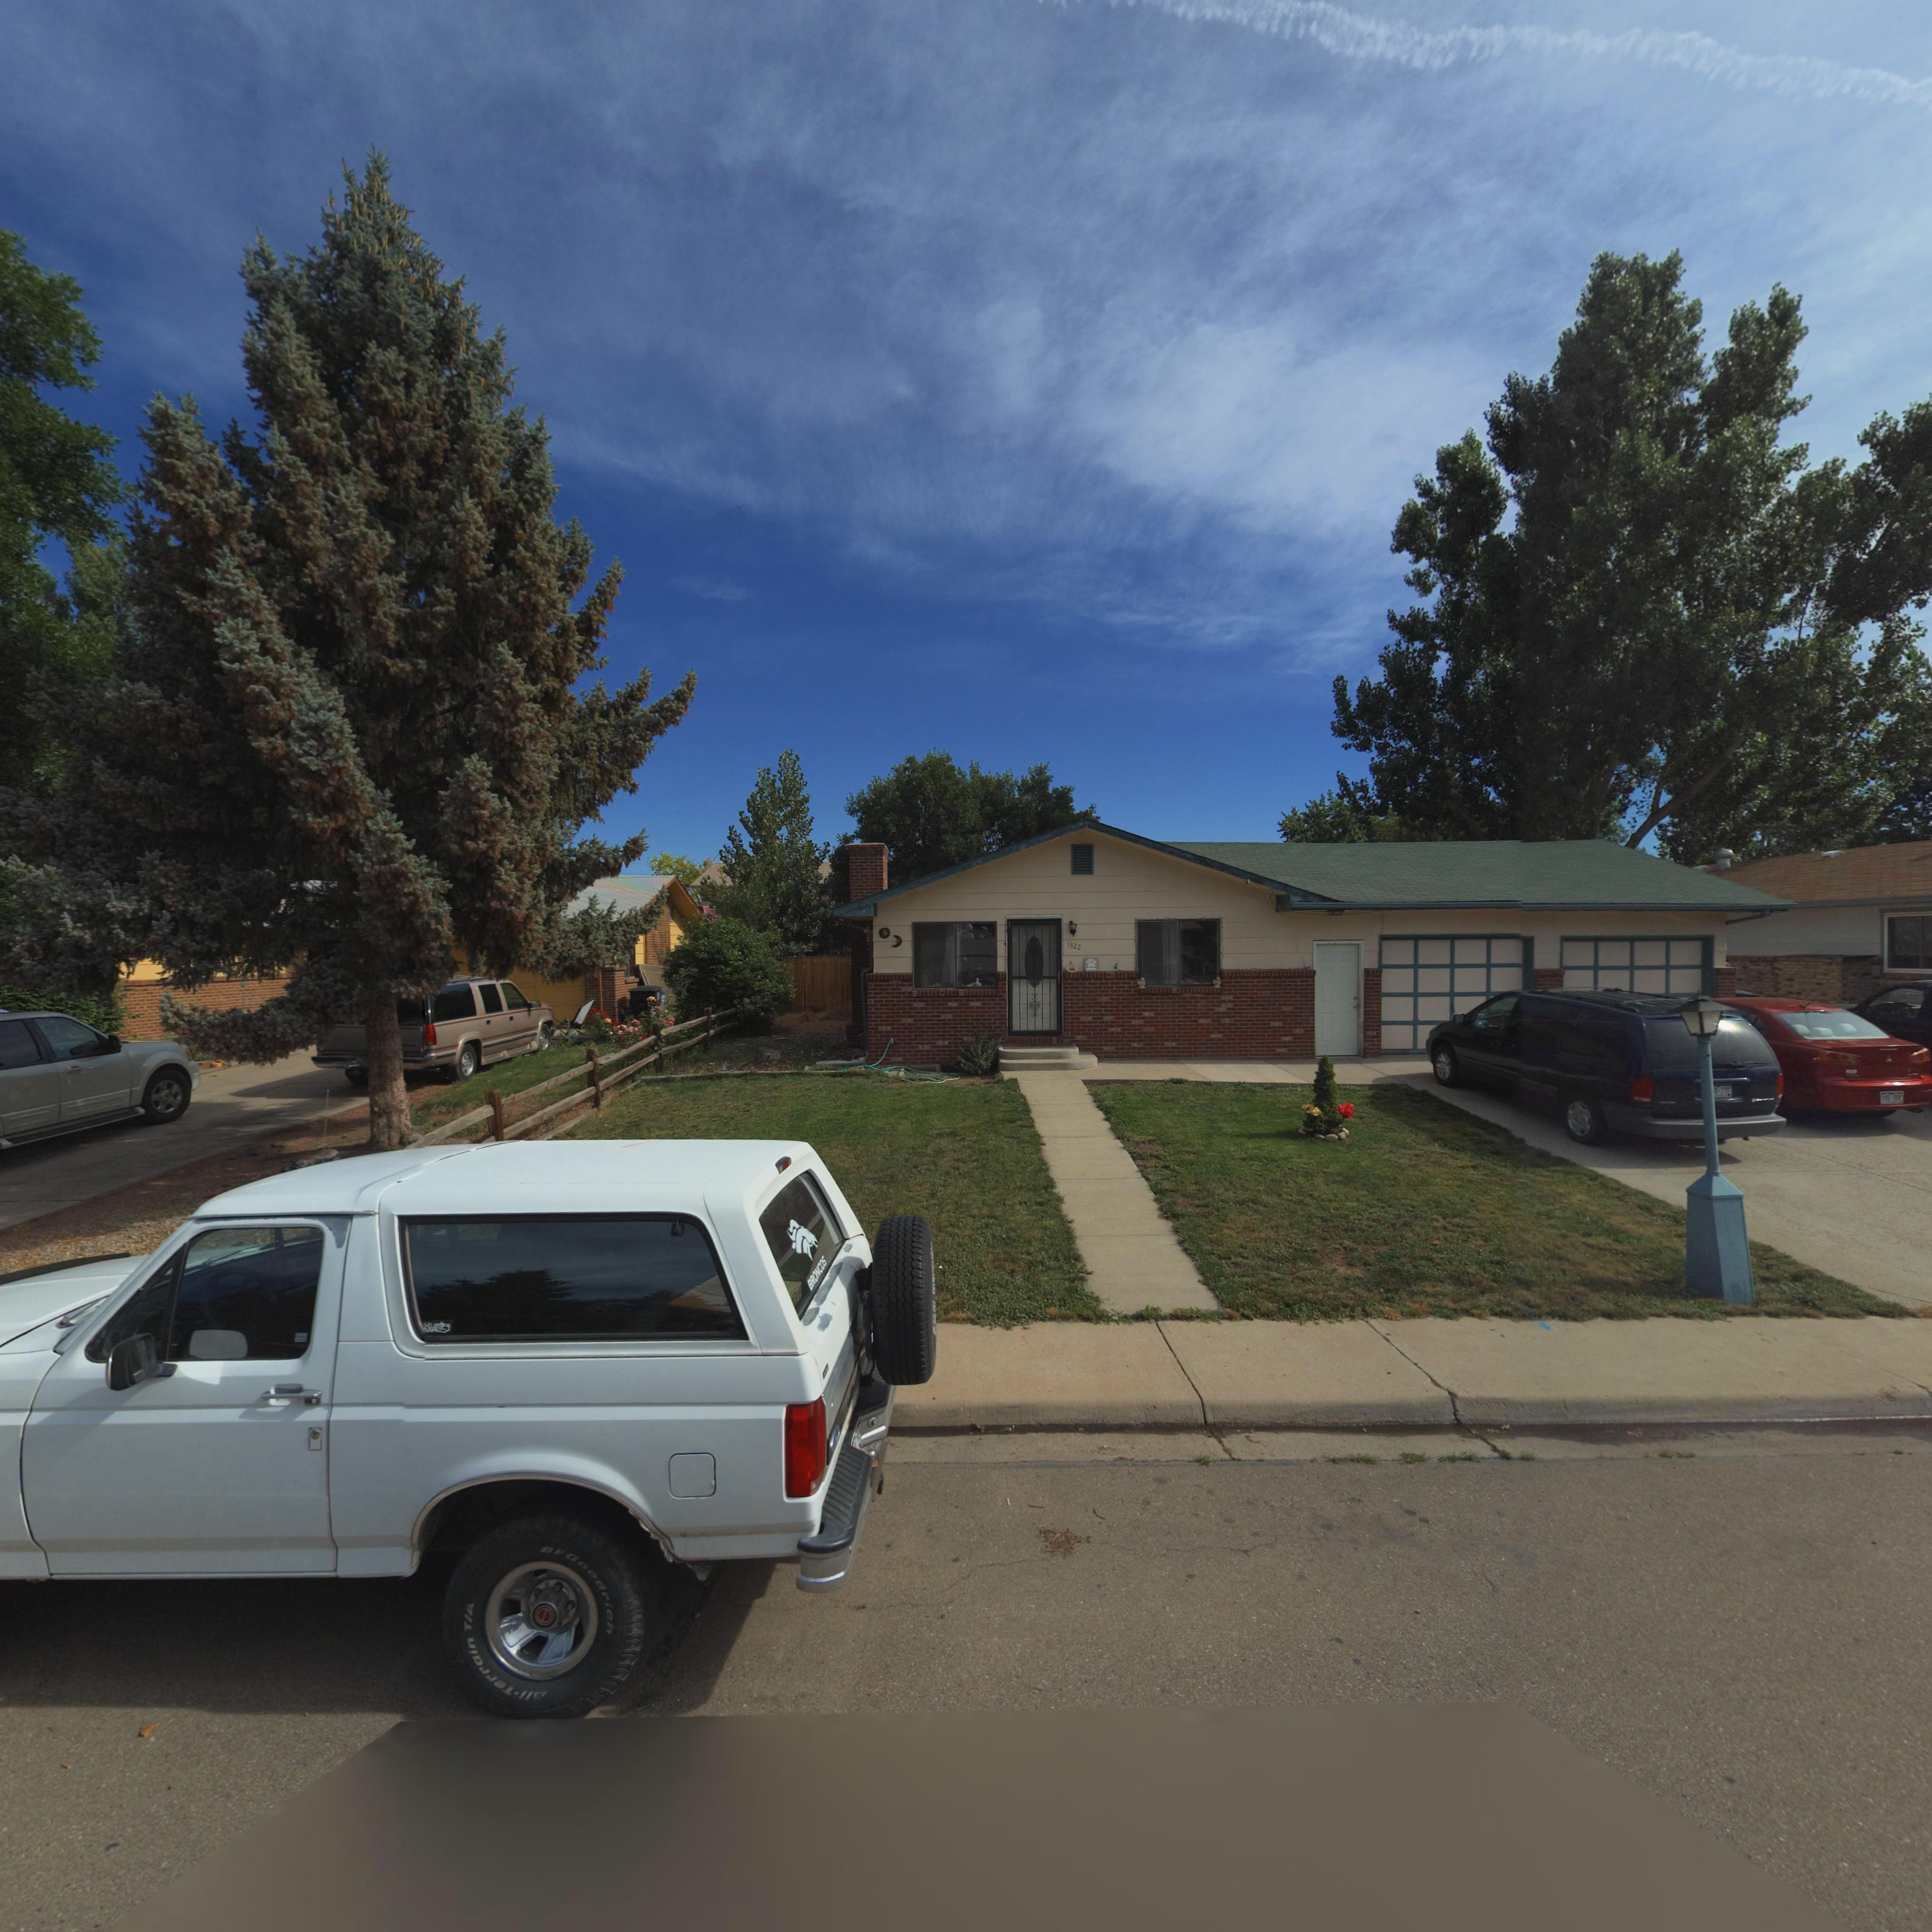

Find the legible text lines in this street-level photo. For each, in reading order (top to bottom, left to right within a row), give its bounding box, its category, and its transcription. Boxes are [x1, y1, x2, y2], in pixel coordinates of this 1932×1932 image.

[1067, 940, 1081, 951] StreetNumber: 1322